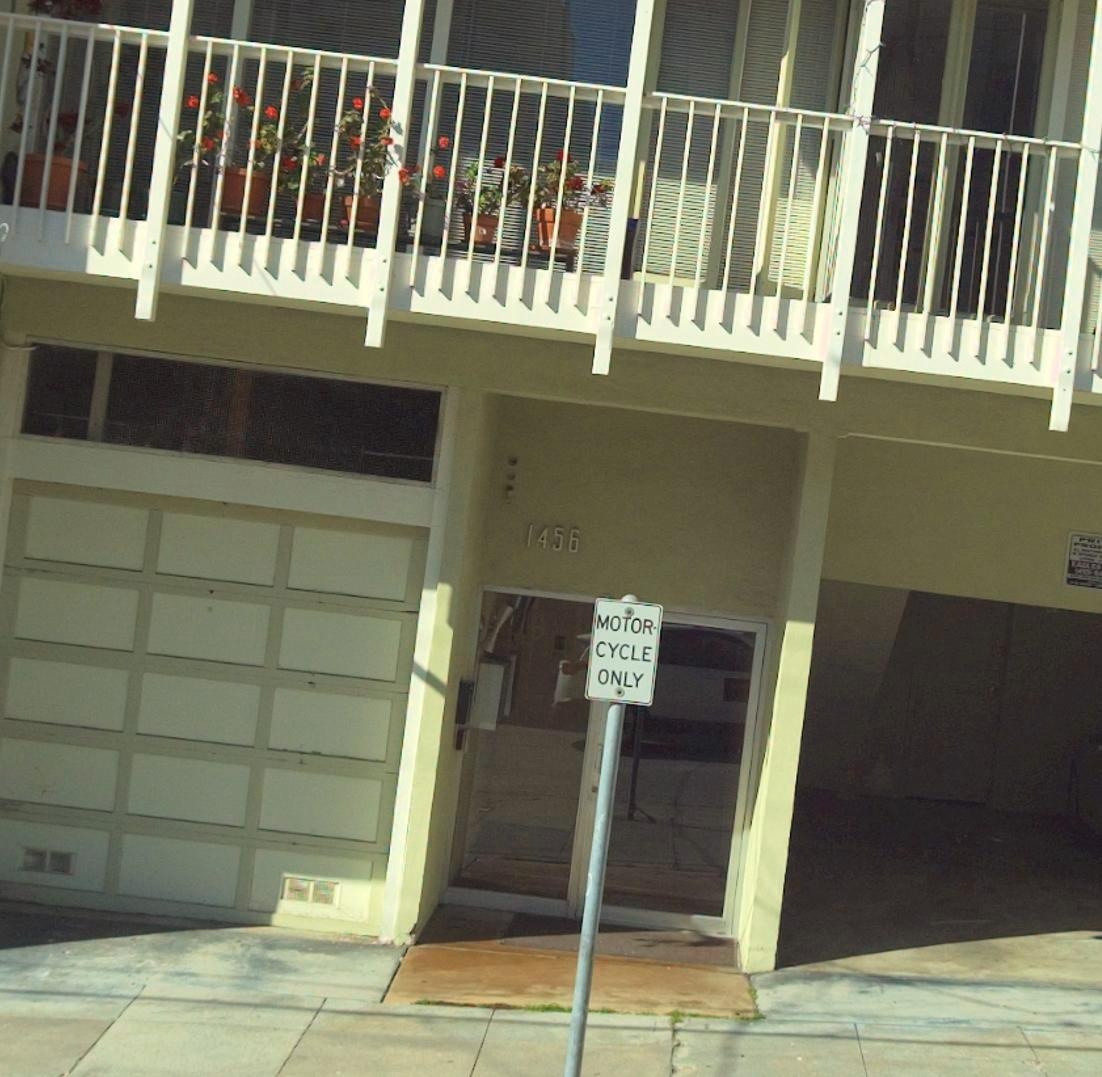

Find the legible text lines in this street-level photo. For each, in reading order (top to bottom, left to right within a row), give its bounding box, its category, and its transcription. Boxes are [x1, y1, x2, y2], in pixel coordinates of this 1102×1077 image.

[523, 521, 582, 555] StreetNumber: 1456
[595, 611, 656, 637] None: MOTOR
[593, 638, 654, 663] None: CYCLE
[595, 667, 647, 690] None: ONLY